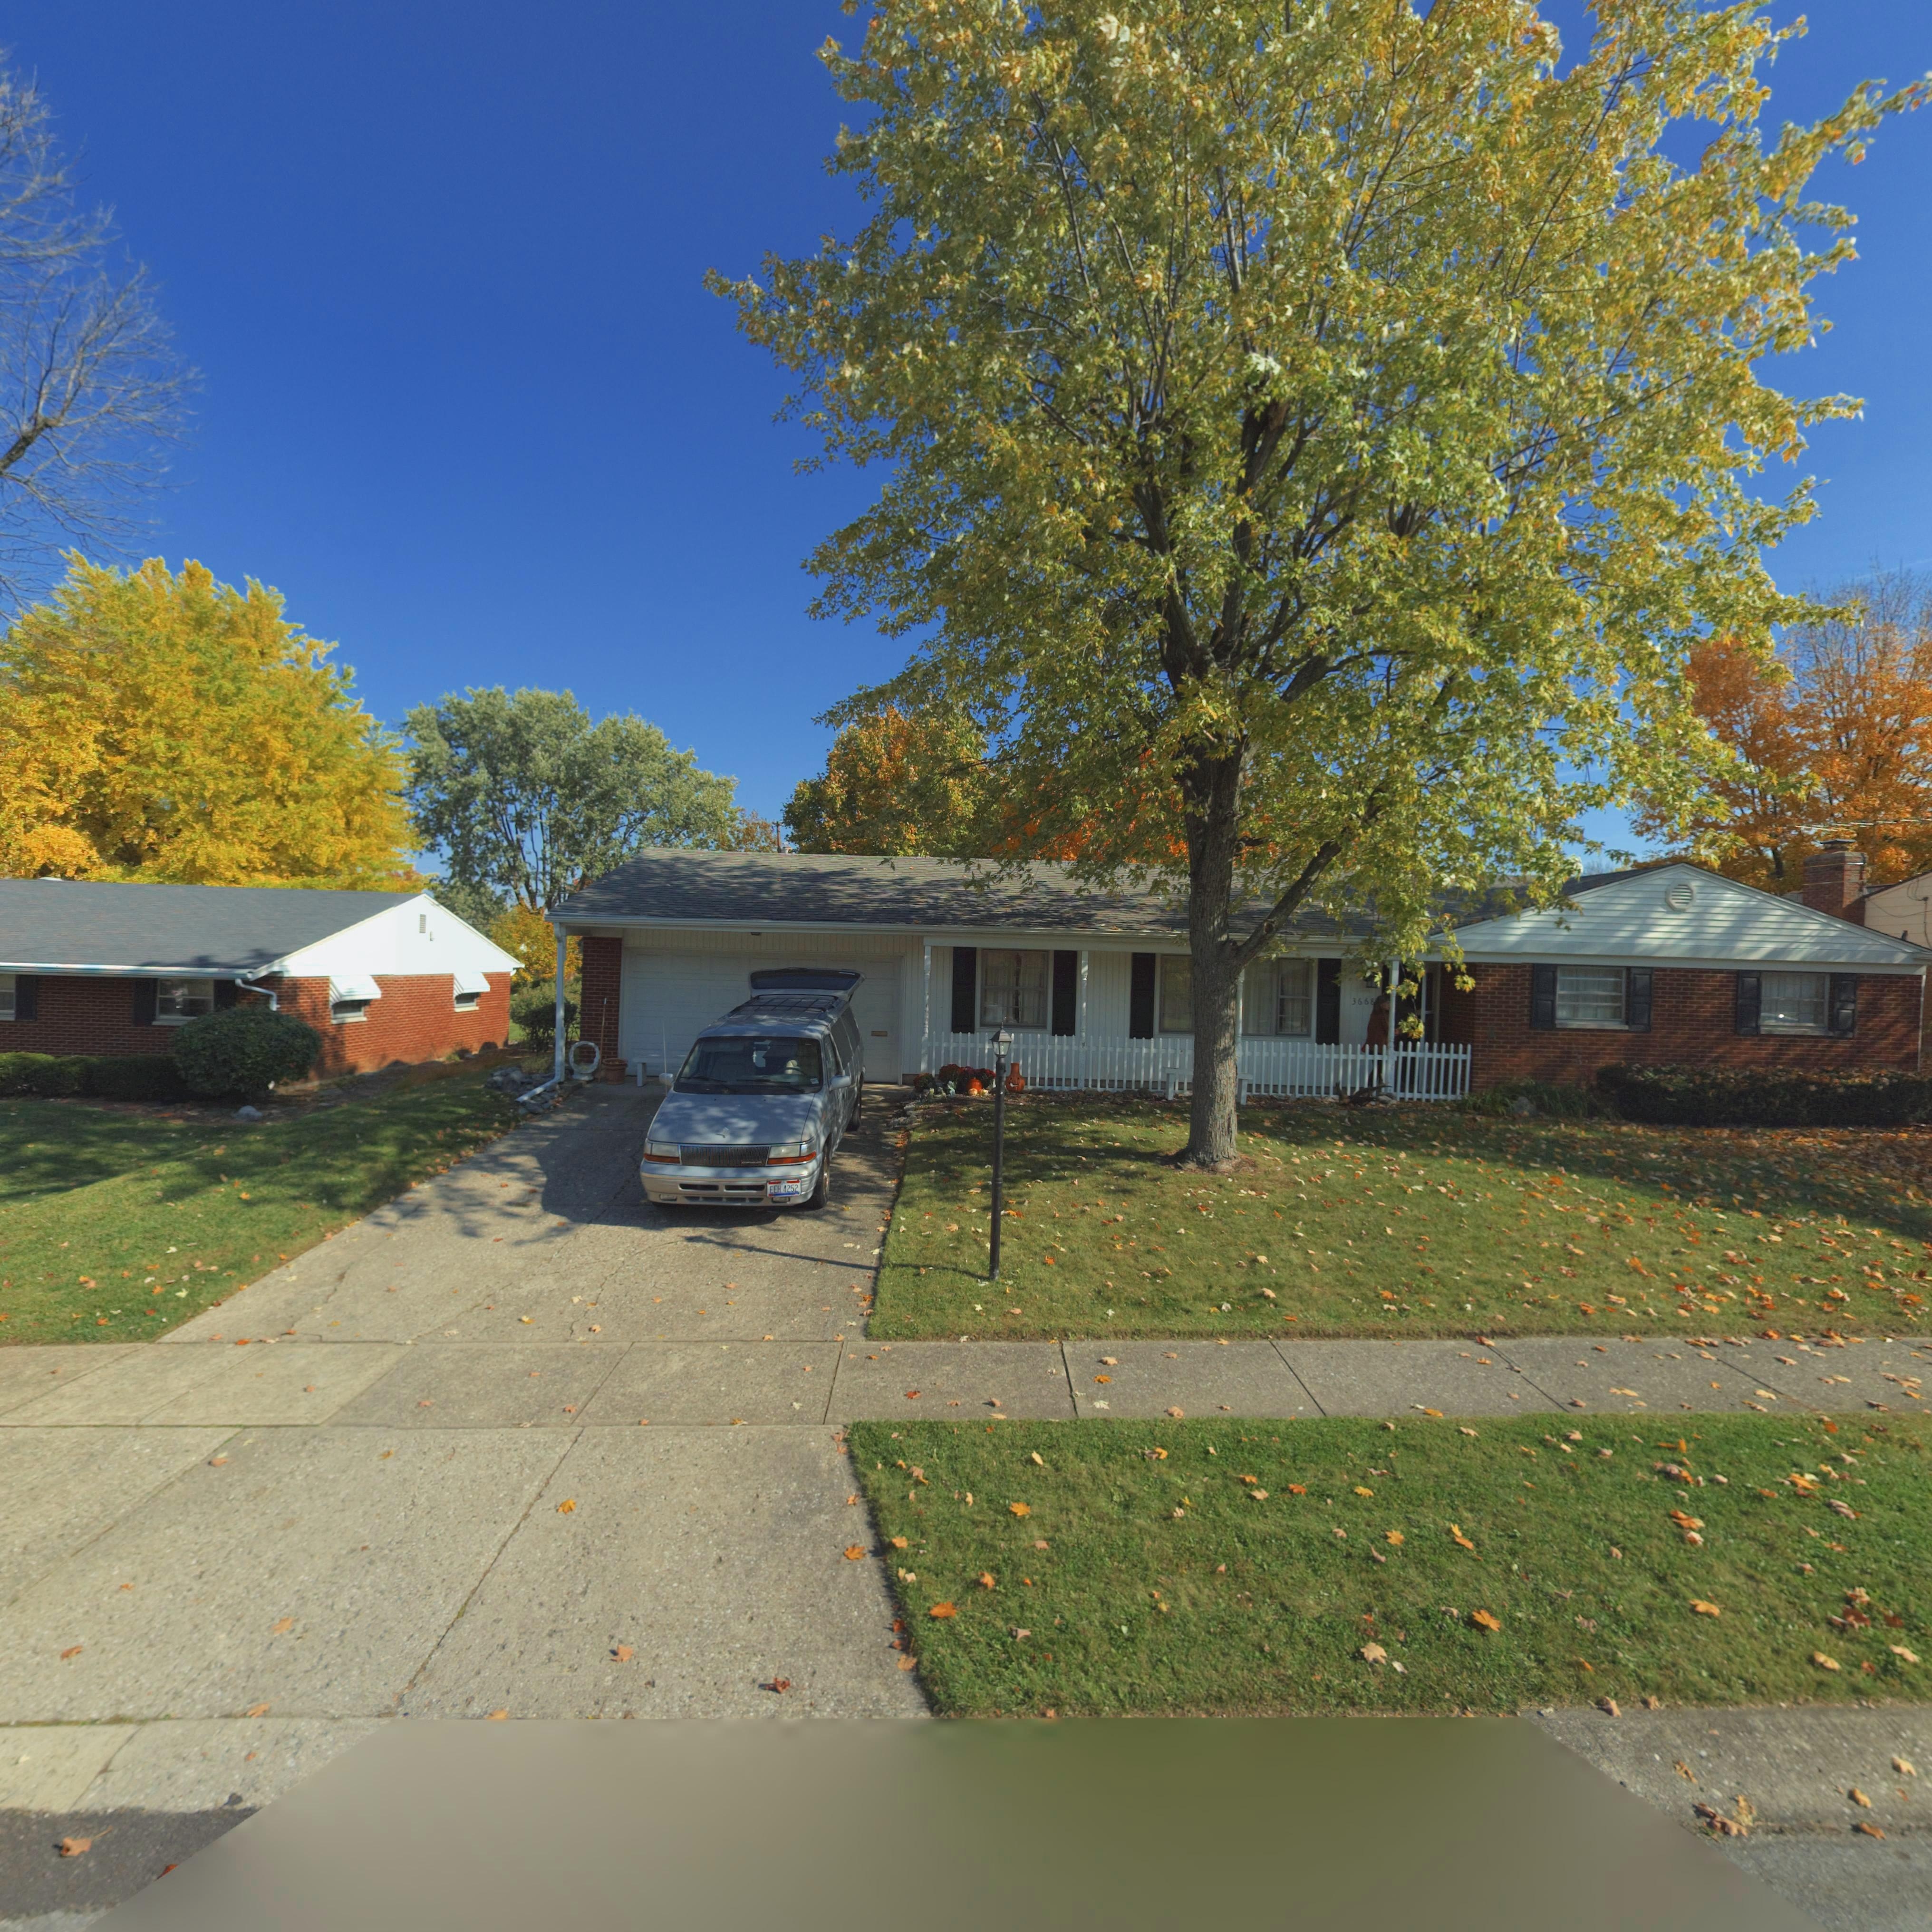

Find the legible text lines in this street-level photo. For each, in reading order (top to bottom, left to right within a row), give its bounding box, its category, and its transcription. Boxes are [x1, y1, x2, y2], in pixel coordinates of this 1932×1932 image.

[1351, 997, 1375, 1005] StreetNumber: 3668